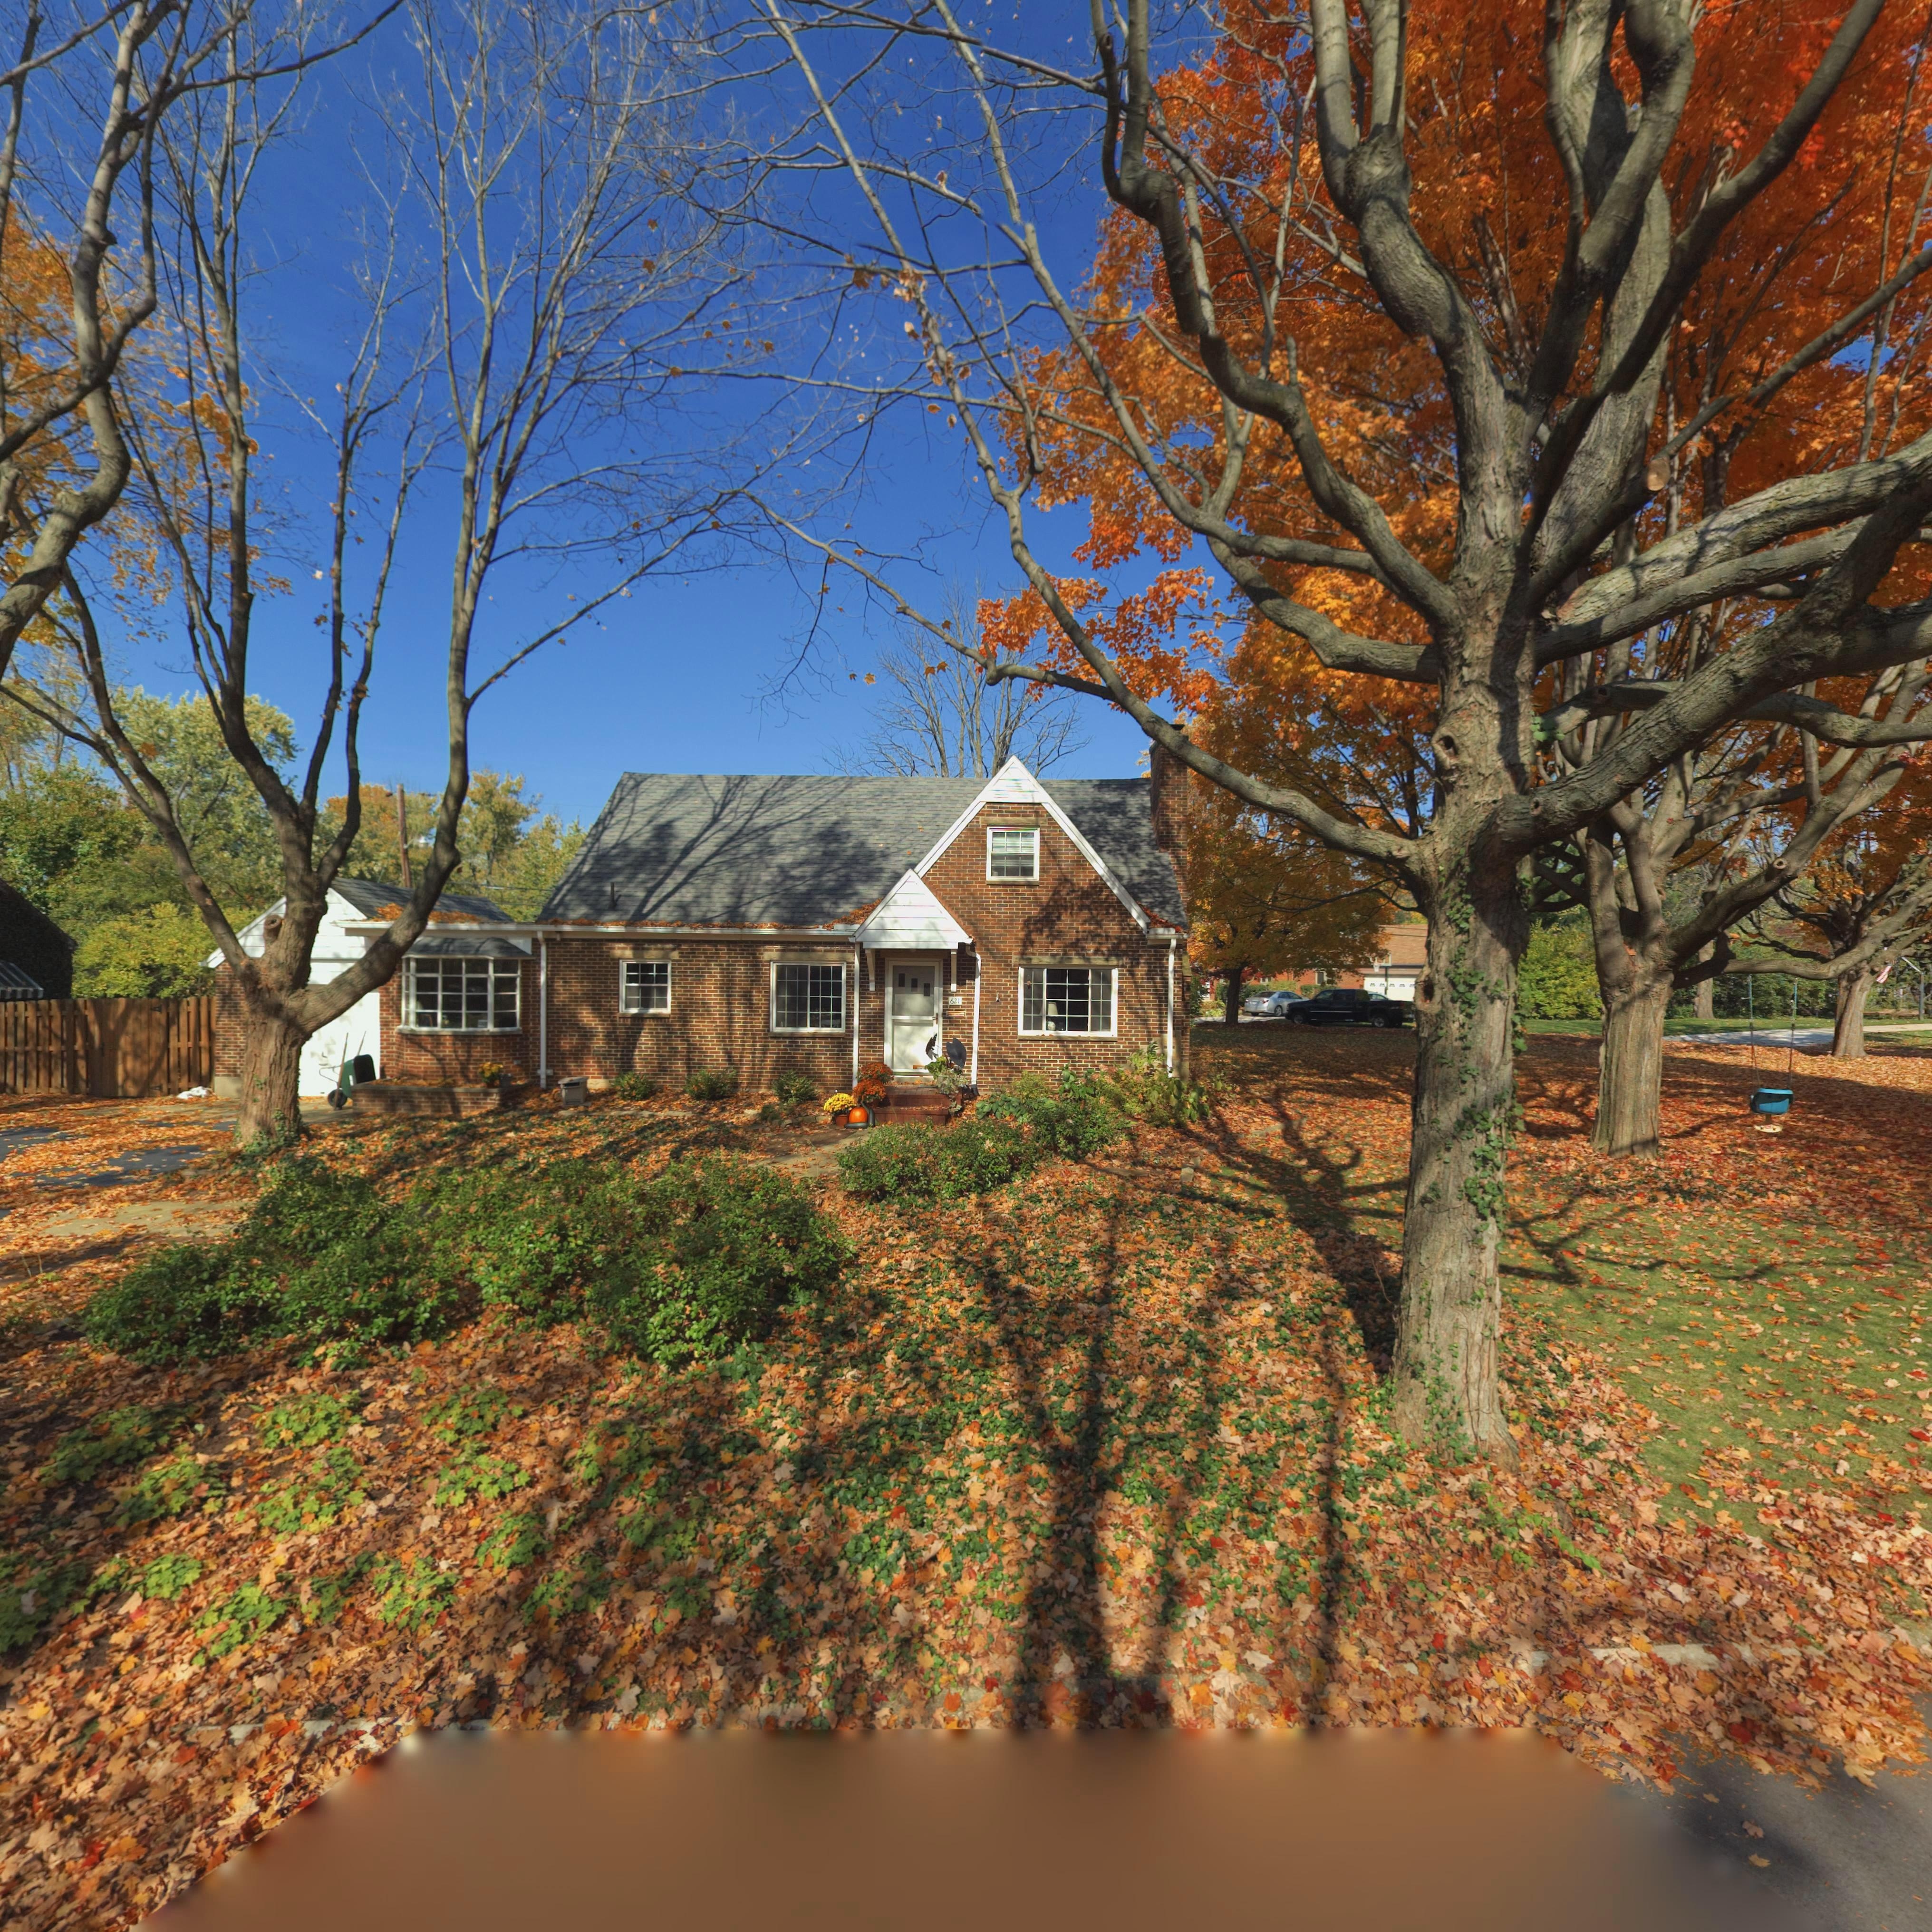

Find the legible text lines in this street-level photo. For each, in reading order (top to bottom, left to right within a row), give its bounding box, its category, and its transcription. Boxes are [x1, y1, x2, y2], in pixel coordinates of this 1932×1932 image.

[950, 997, 960, 1005] StreetNumber: 621